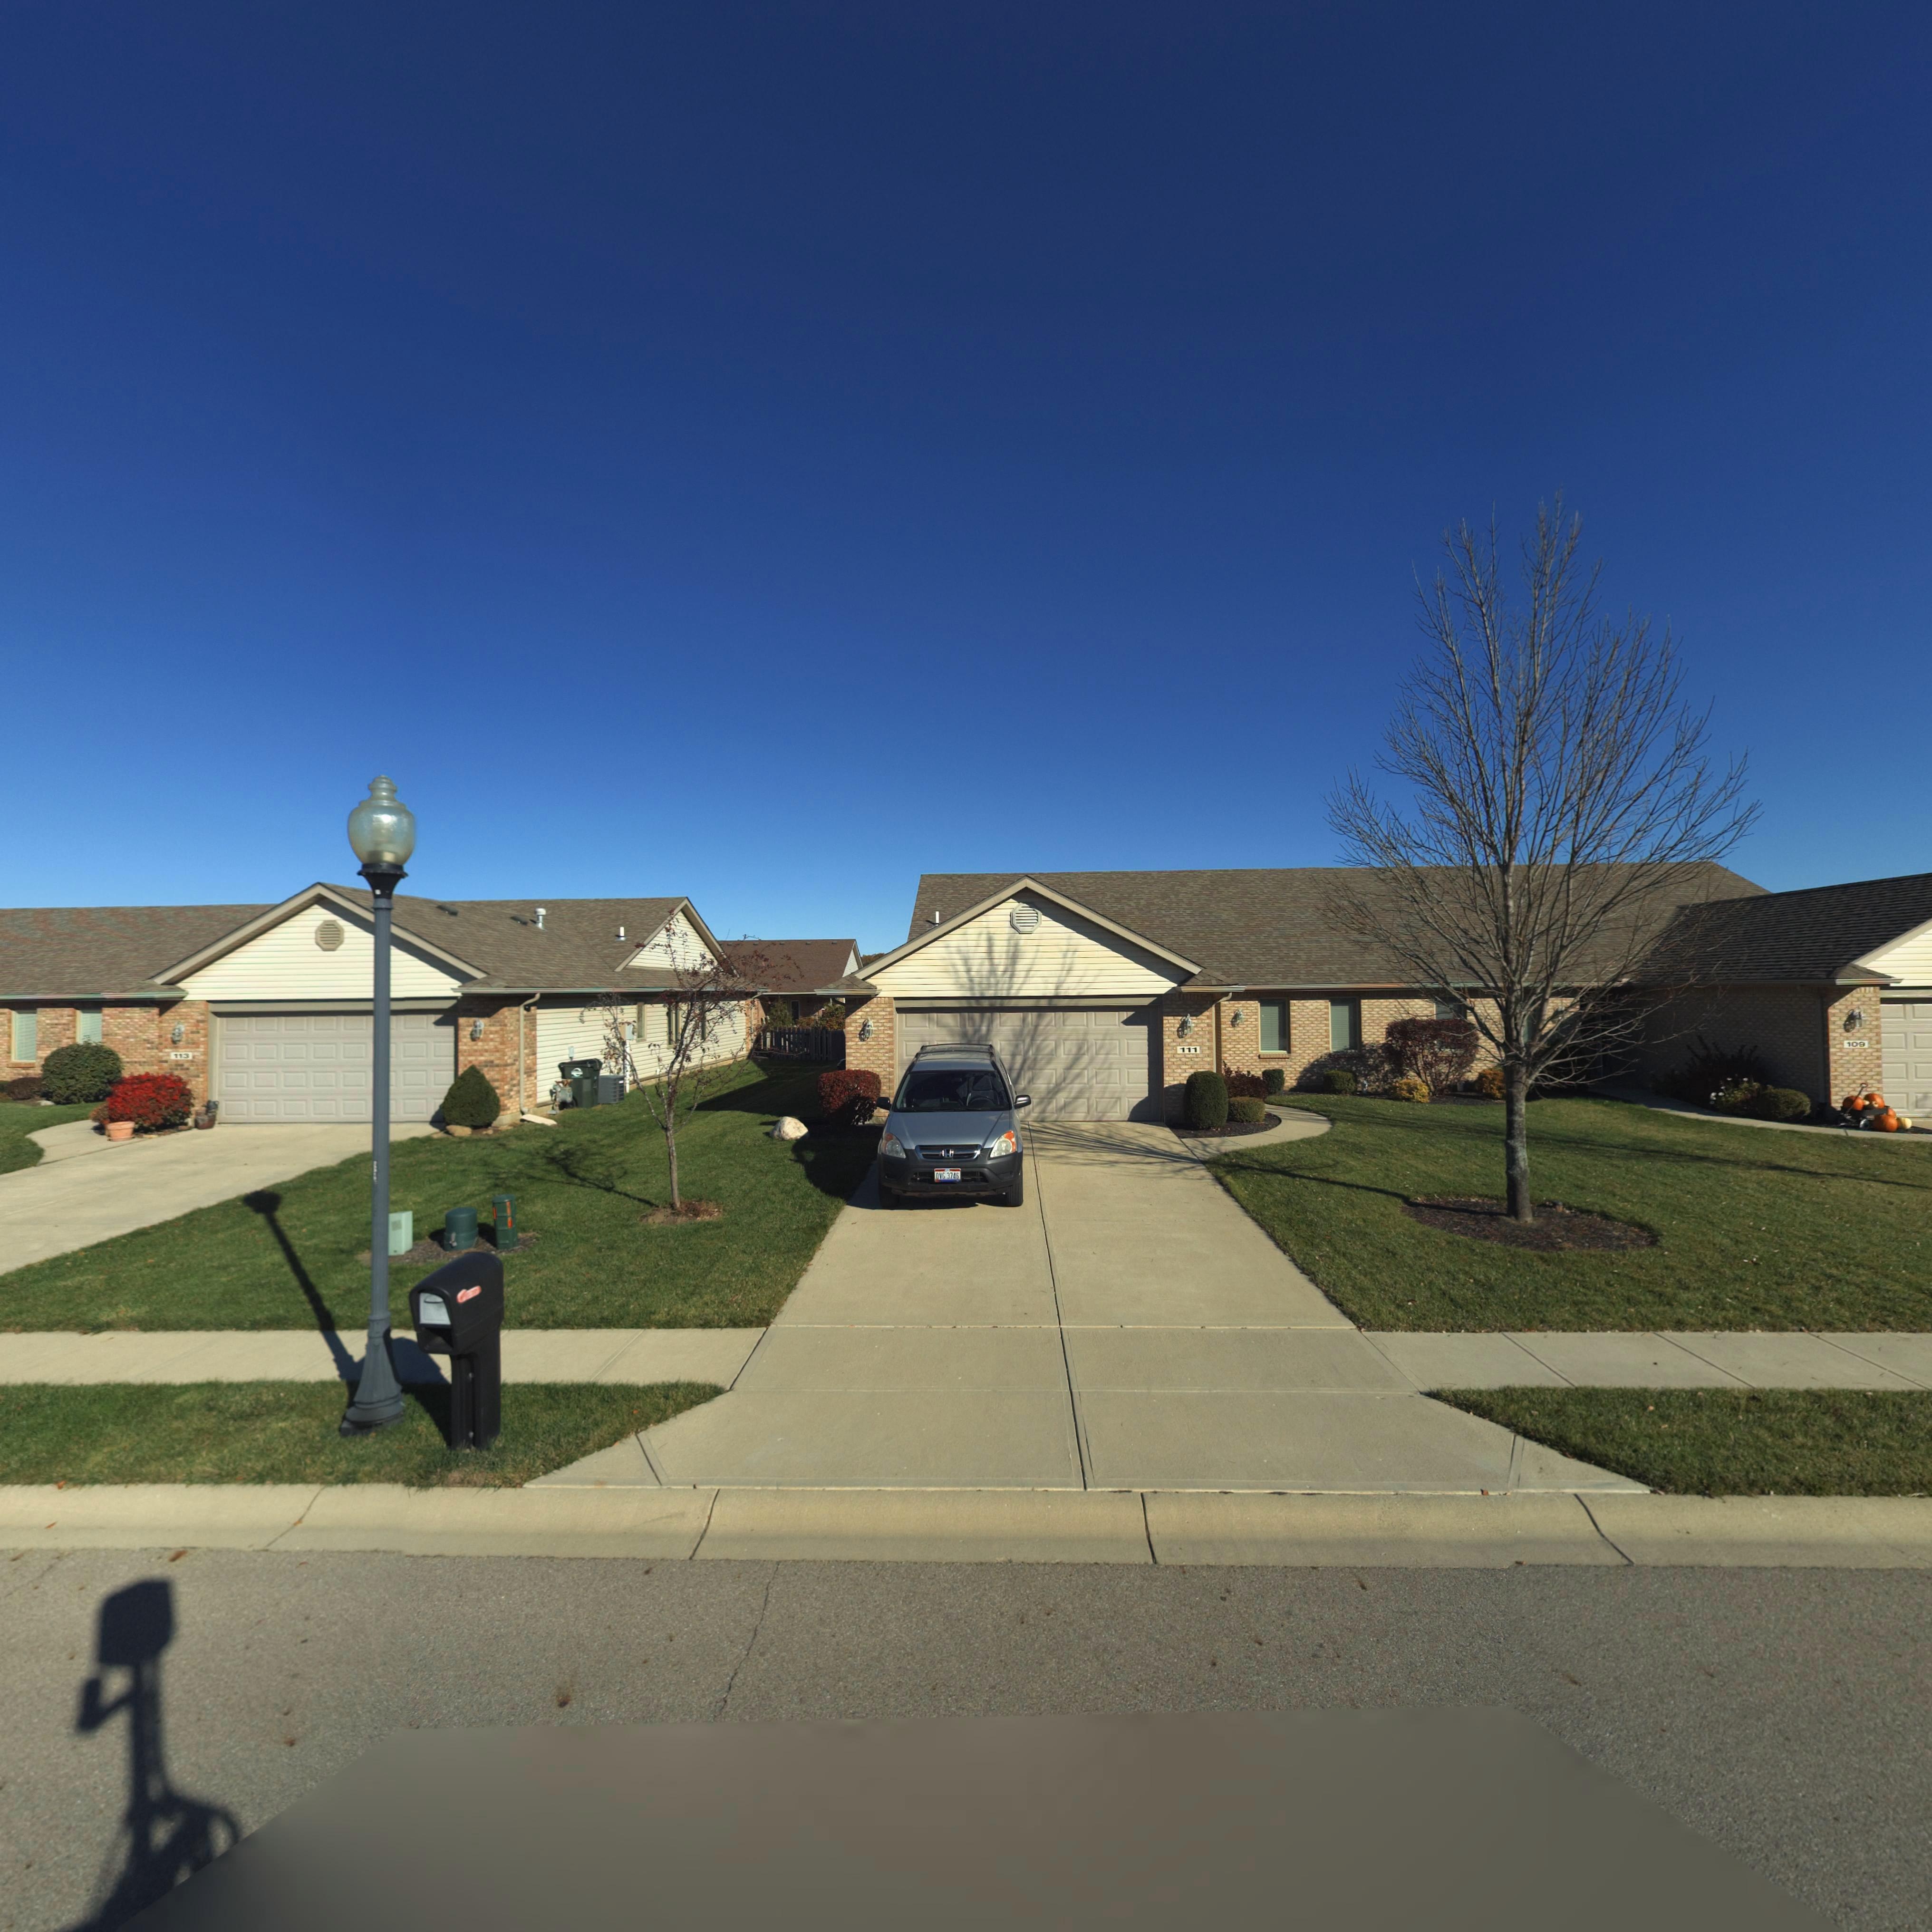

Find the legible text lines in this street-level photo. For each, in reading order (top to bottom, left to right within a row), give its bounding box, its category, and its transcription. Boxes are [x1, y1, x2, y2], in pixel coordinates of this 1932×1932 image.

[1846, 1041, 1866, 1048] StreetNumber: 109
[1179, 1046, 1198, 1053] StreetNumber: 111
[173, 1053, 190, 1059] StreetNumber: 113